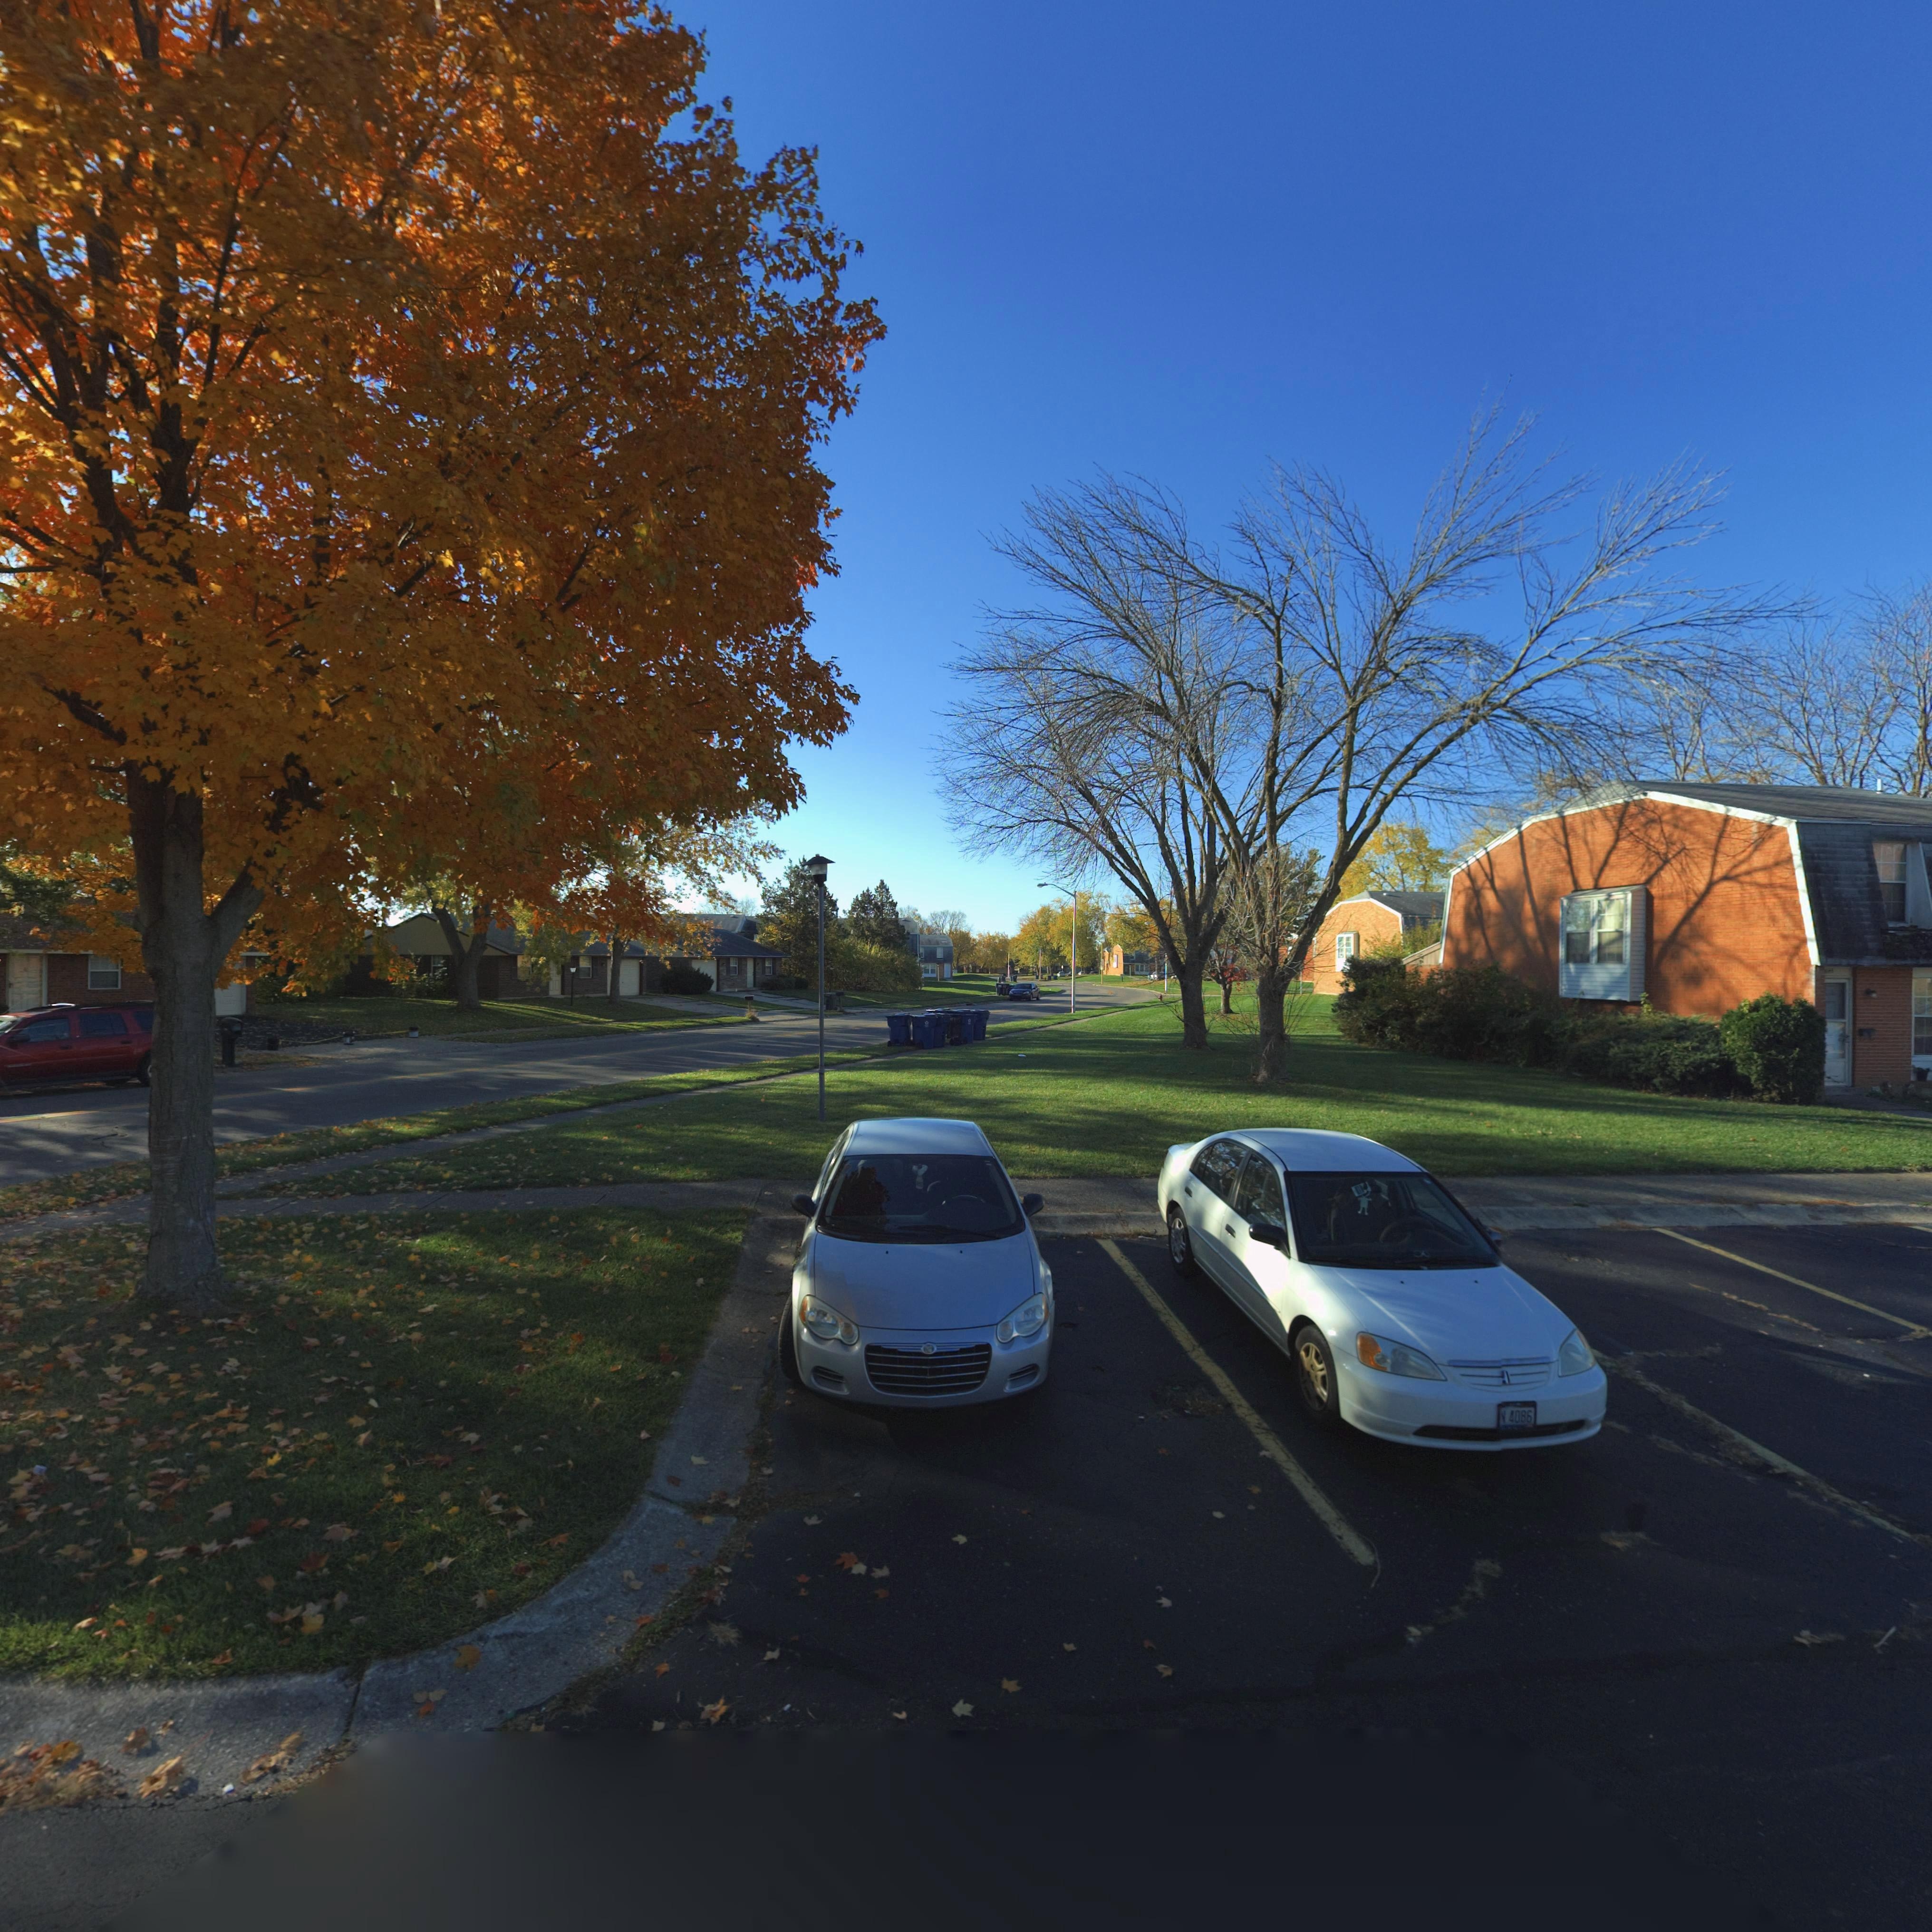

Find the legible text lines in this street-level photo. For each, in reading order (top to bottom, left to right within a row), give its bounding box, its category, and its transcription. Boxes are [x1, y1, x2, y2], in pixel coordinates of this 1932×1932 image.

[1824, 967, 1834, 974] StreetNumber: 6*1